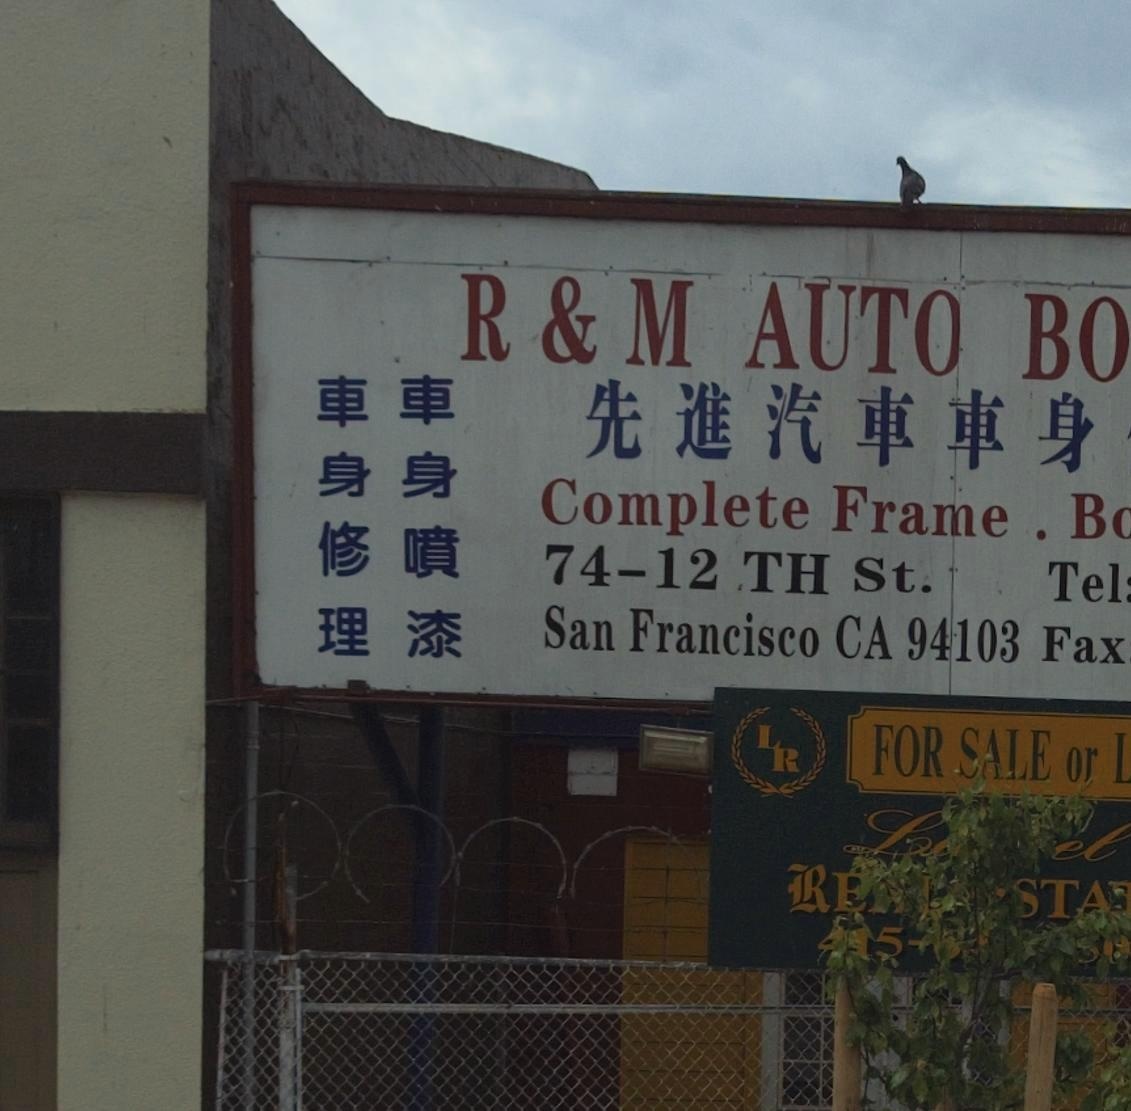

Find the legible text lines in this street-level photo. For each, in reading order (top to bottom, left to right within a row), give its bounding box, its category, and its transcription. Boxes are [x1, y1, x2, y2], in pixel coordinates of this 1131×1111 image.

[452, 263, 1131, 389] BusinessName: R & M AUTO BO
[536, 472, 1110, 544] None: Complete Frame . B
[543, 541, 614, 589] StreetNumber: 74
[651, 541, 938, 601] StreetName: 12 TH St.
[1044, 559, 1124, 606] None: Tel
[540, 598, 1129, 671] None: San Francisco CA 94103 Fax
[754, 721, 783, 750] None: L
[769, 745, 804, 774] None: R
[868, 717, 1105, 787] None: FOR S*LE or
[1047, 835, 1089, 864] None: e
[782, 858, 834, 917] None: R
[1037, 876, 1083, 922] None: T
[871, 923, 907, 962] None: 5